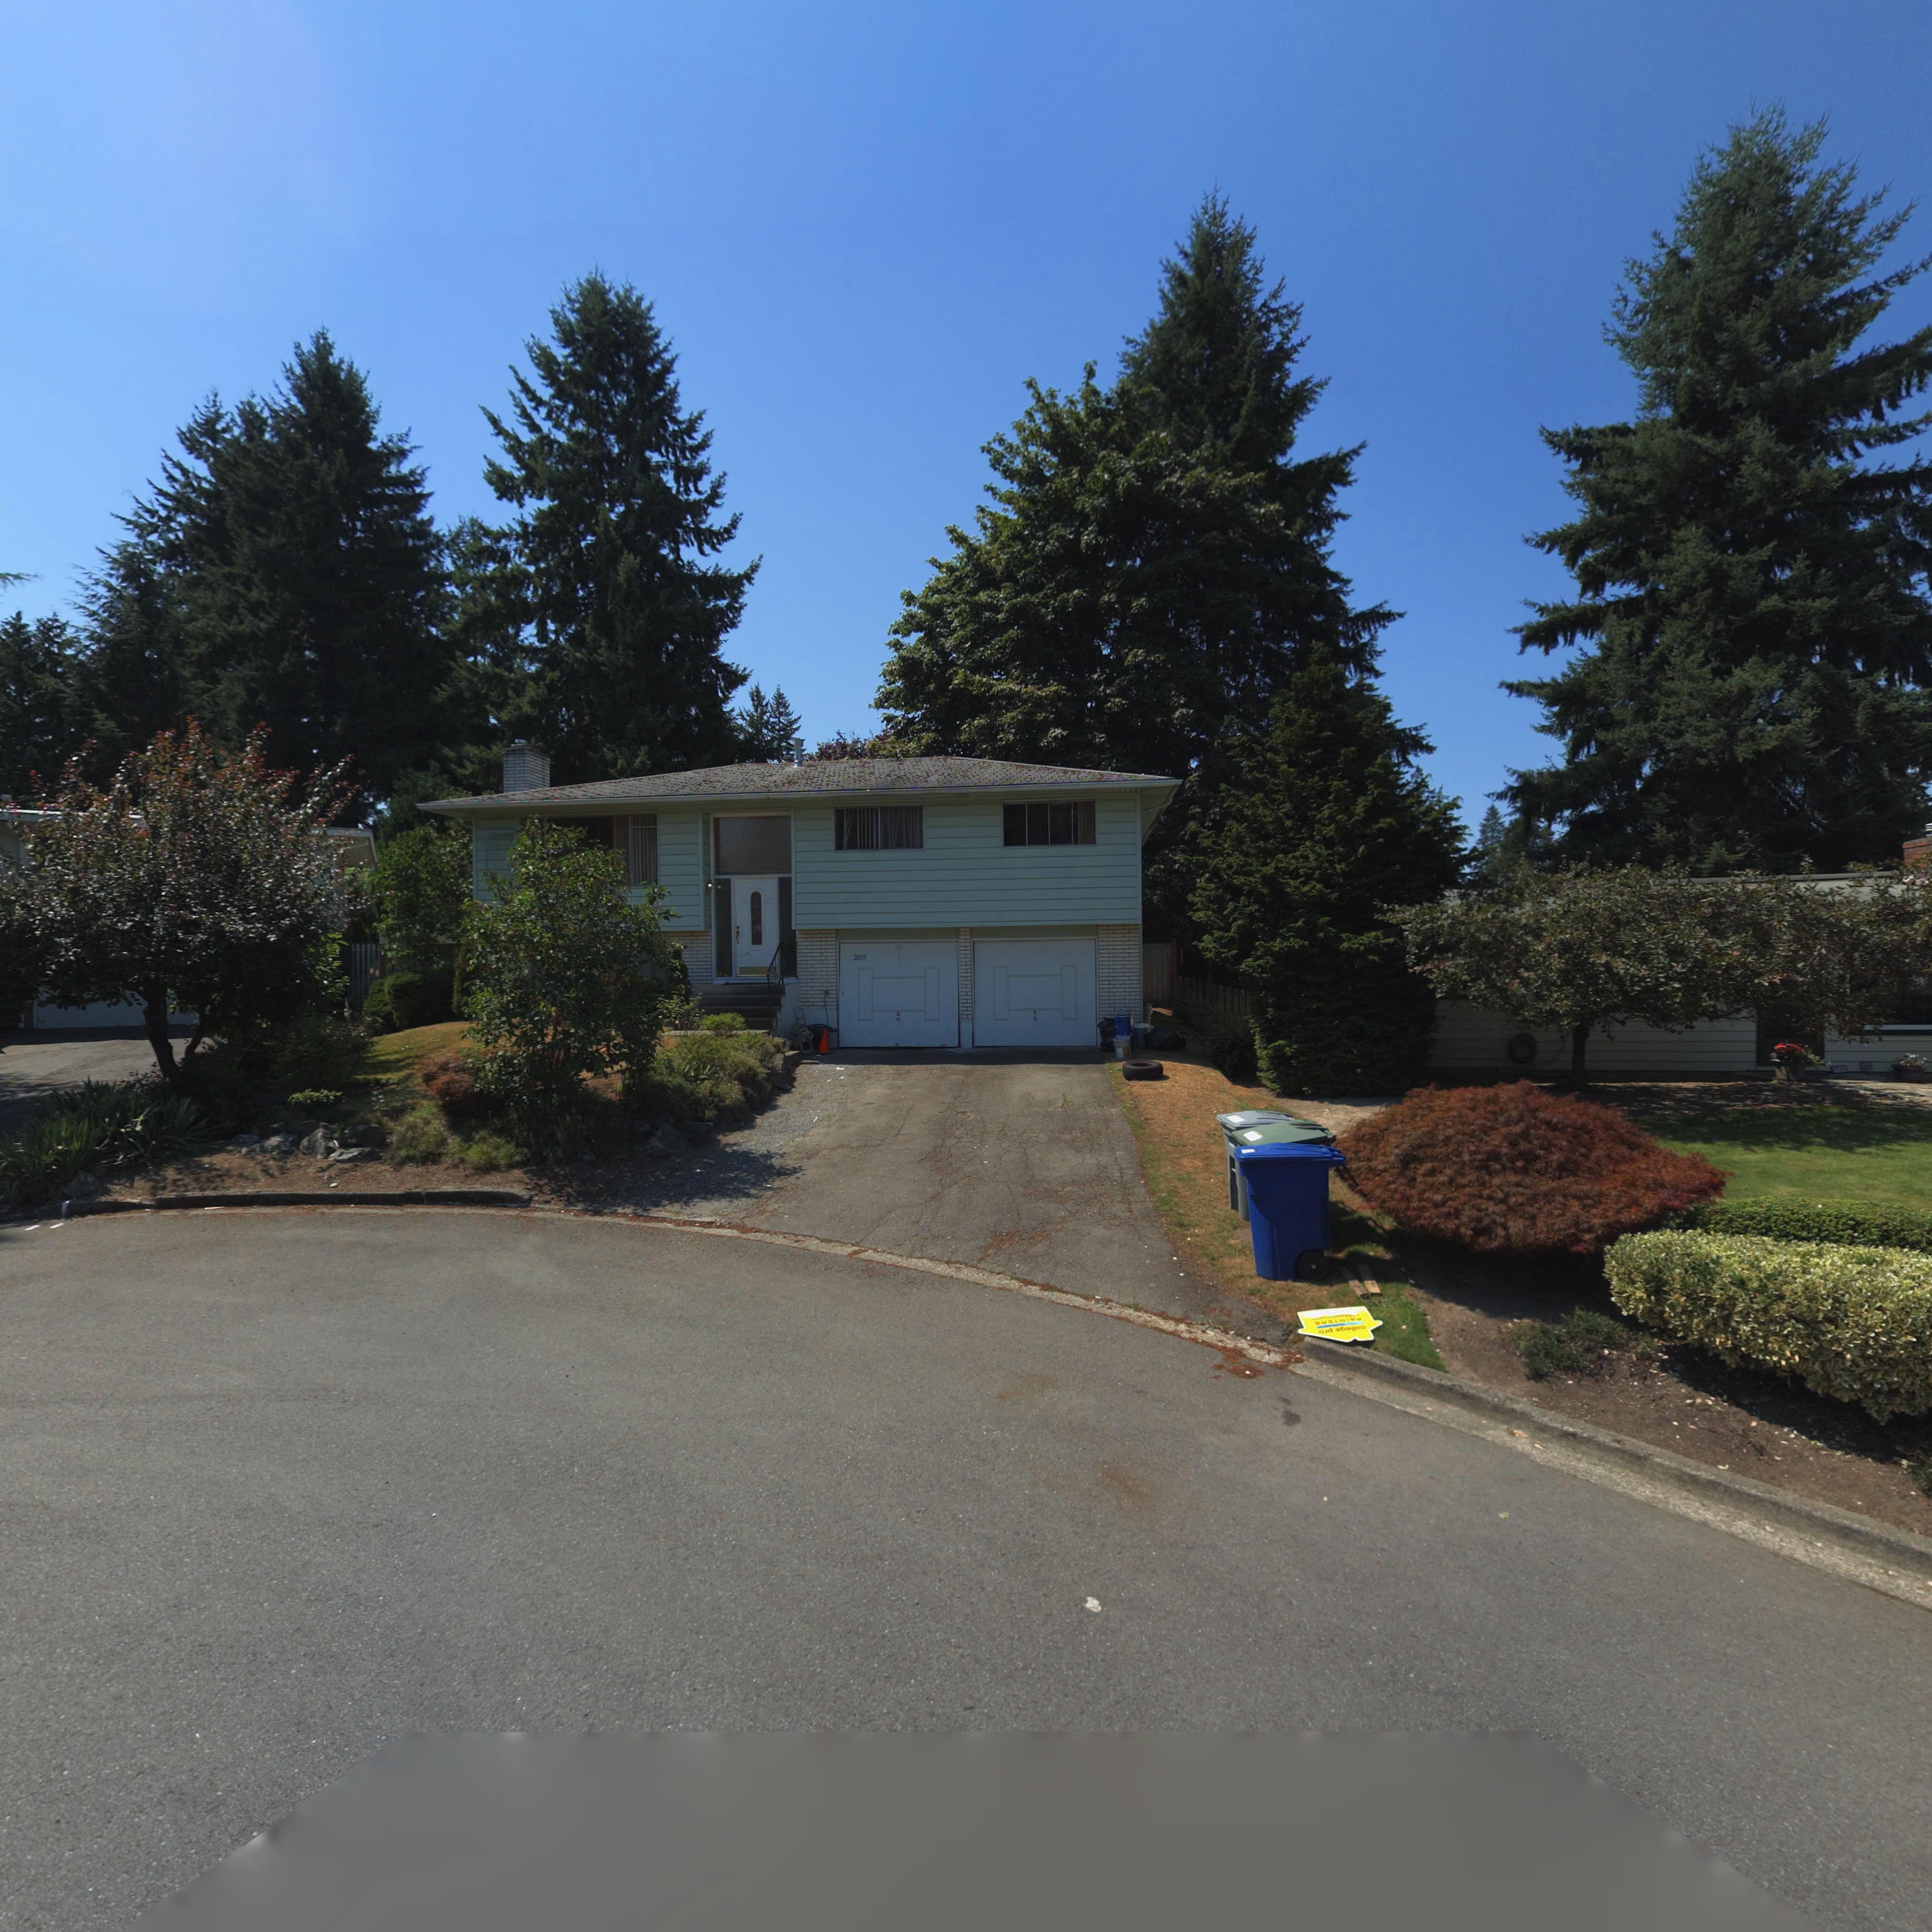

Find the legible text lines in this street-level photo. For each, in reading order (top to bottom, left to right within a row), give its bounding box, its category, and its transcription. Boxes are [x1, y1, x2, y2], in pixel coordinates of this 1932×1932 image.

[854, 953, 867, 962] StreetNumber: 2009